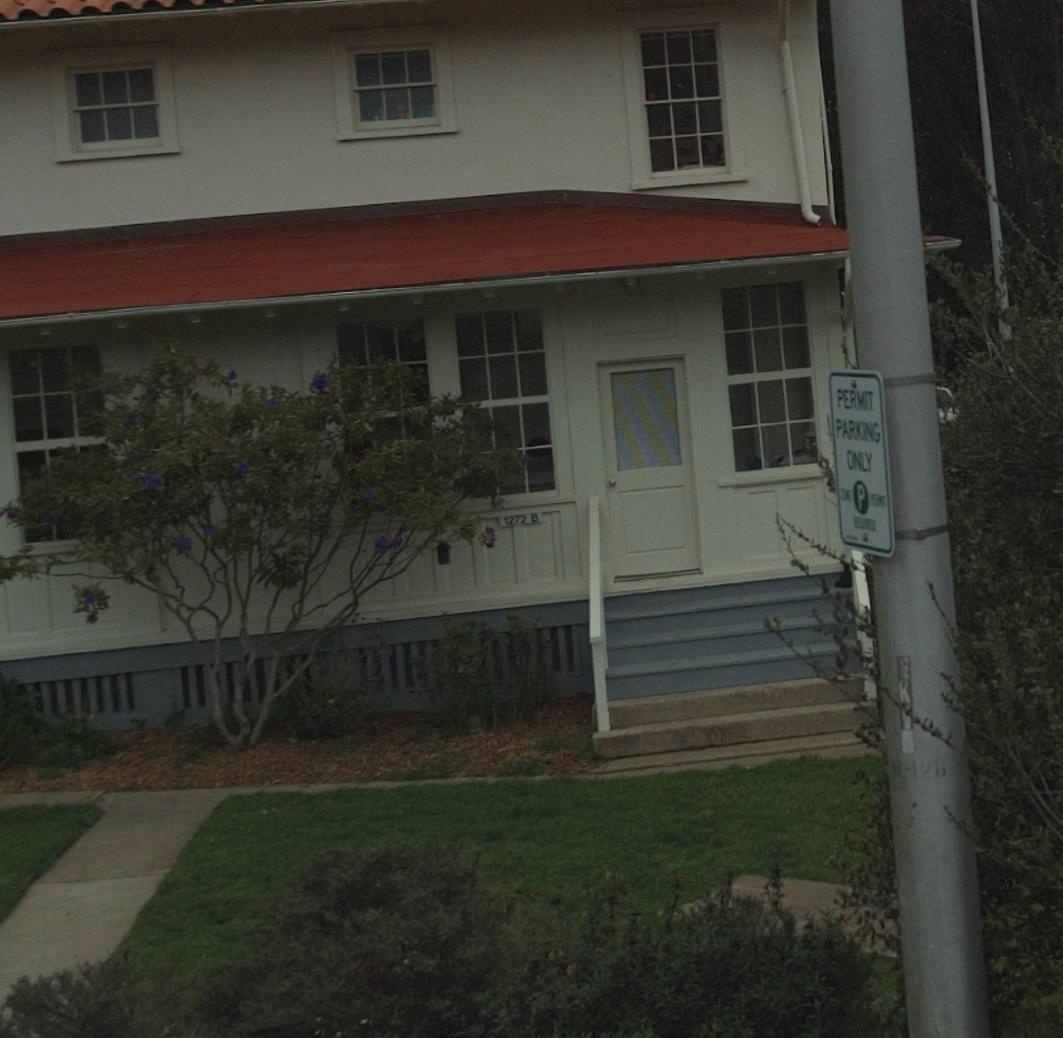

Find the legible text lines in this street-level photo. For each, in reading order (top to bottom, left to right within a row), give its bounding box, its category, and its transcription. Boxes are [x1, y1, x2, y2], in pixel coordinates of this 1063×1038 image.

[836, 388, 874, 412] None: PERMIT
[835, 418, 881, 443] None: PARKING
[845, 448, 873, 473] None: ONLY
[856, 484, 866, 512] None: P
[502, 511, 542, 528] StreetNumber: 1272 B
[896, 657, 915, 752] None: EK**
[889, 756, 950, 778] None: *-126